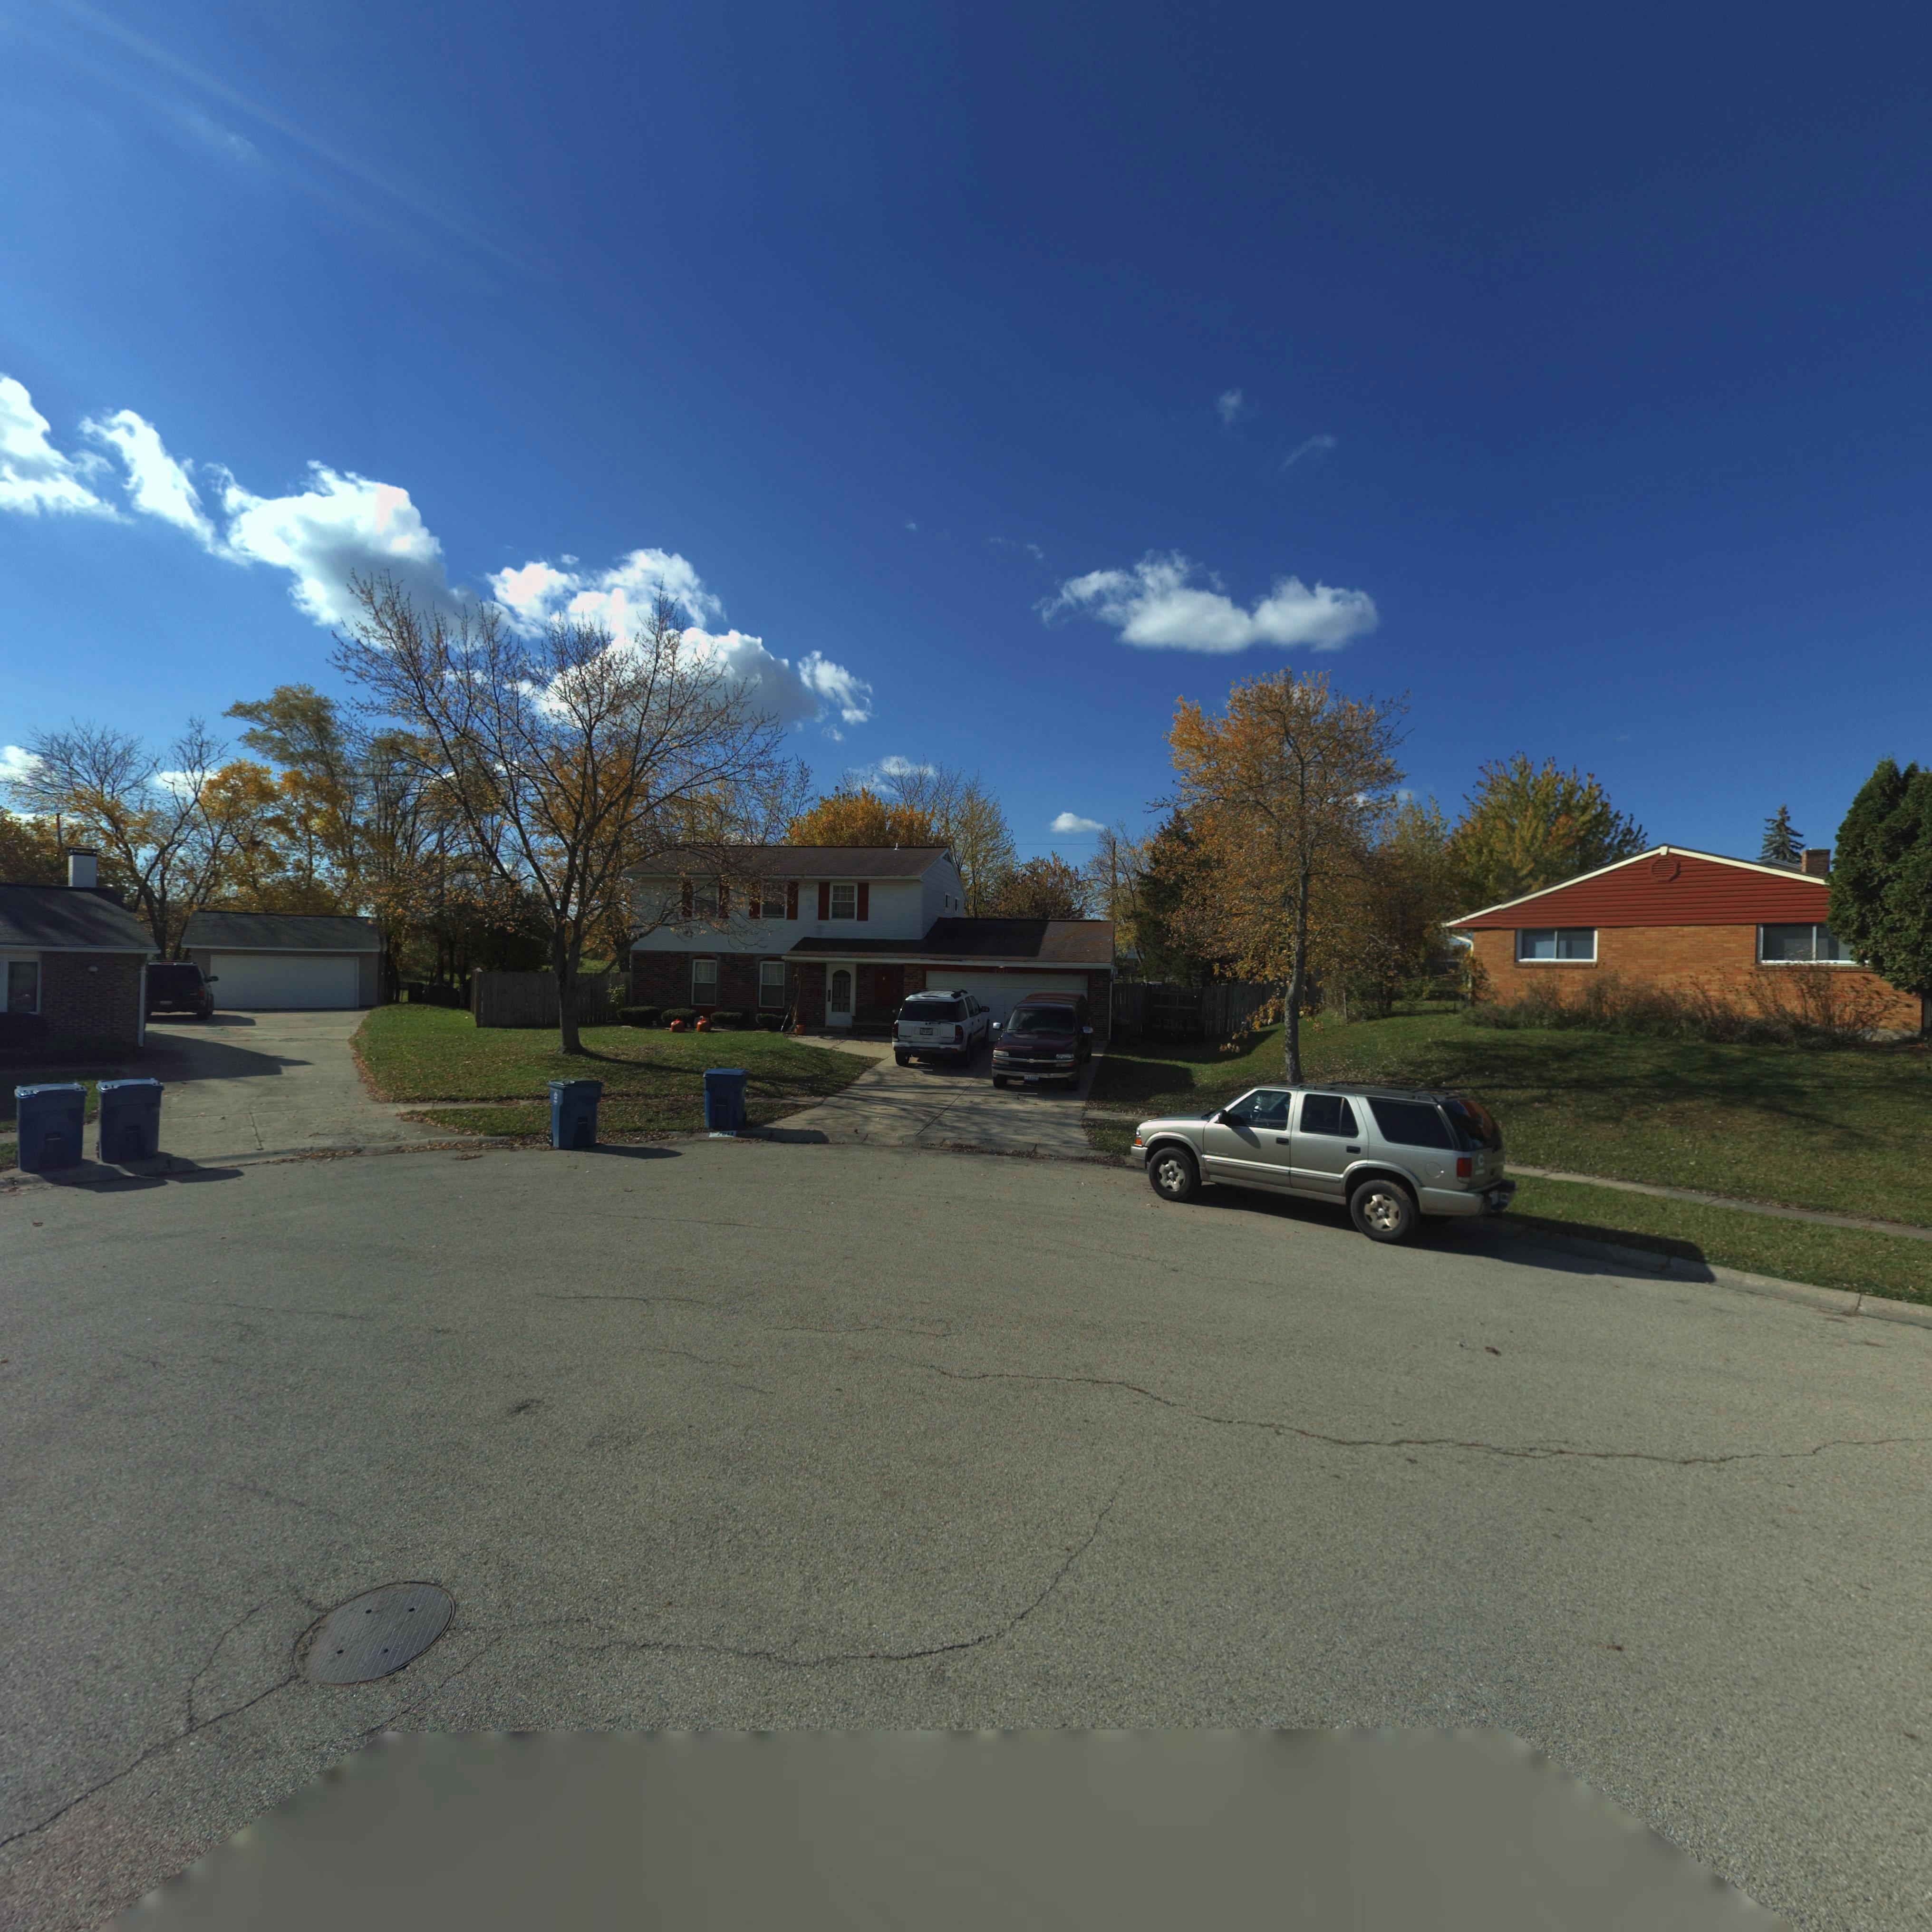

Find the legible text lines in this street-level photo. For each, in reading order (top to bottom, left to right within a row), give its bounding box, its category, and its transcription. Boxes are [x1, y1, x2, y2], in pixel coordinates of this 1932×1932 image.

[994, 968, 1009, 975] StreetNumber: 7***
[716, 1131, 735, 1137] StreetNumber: 7***